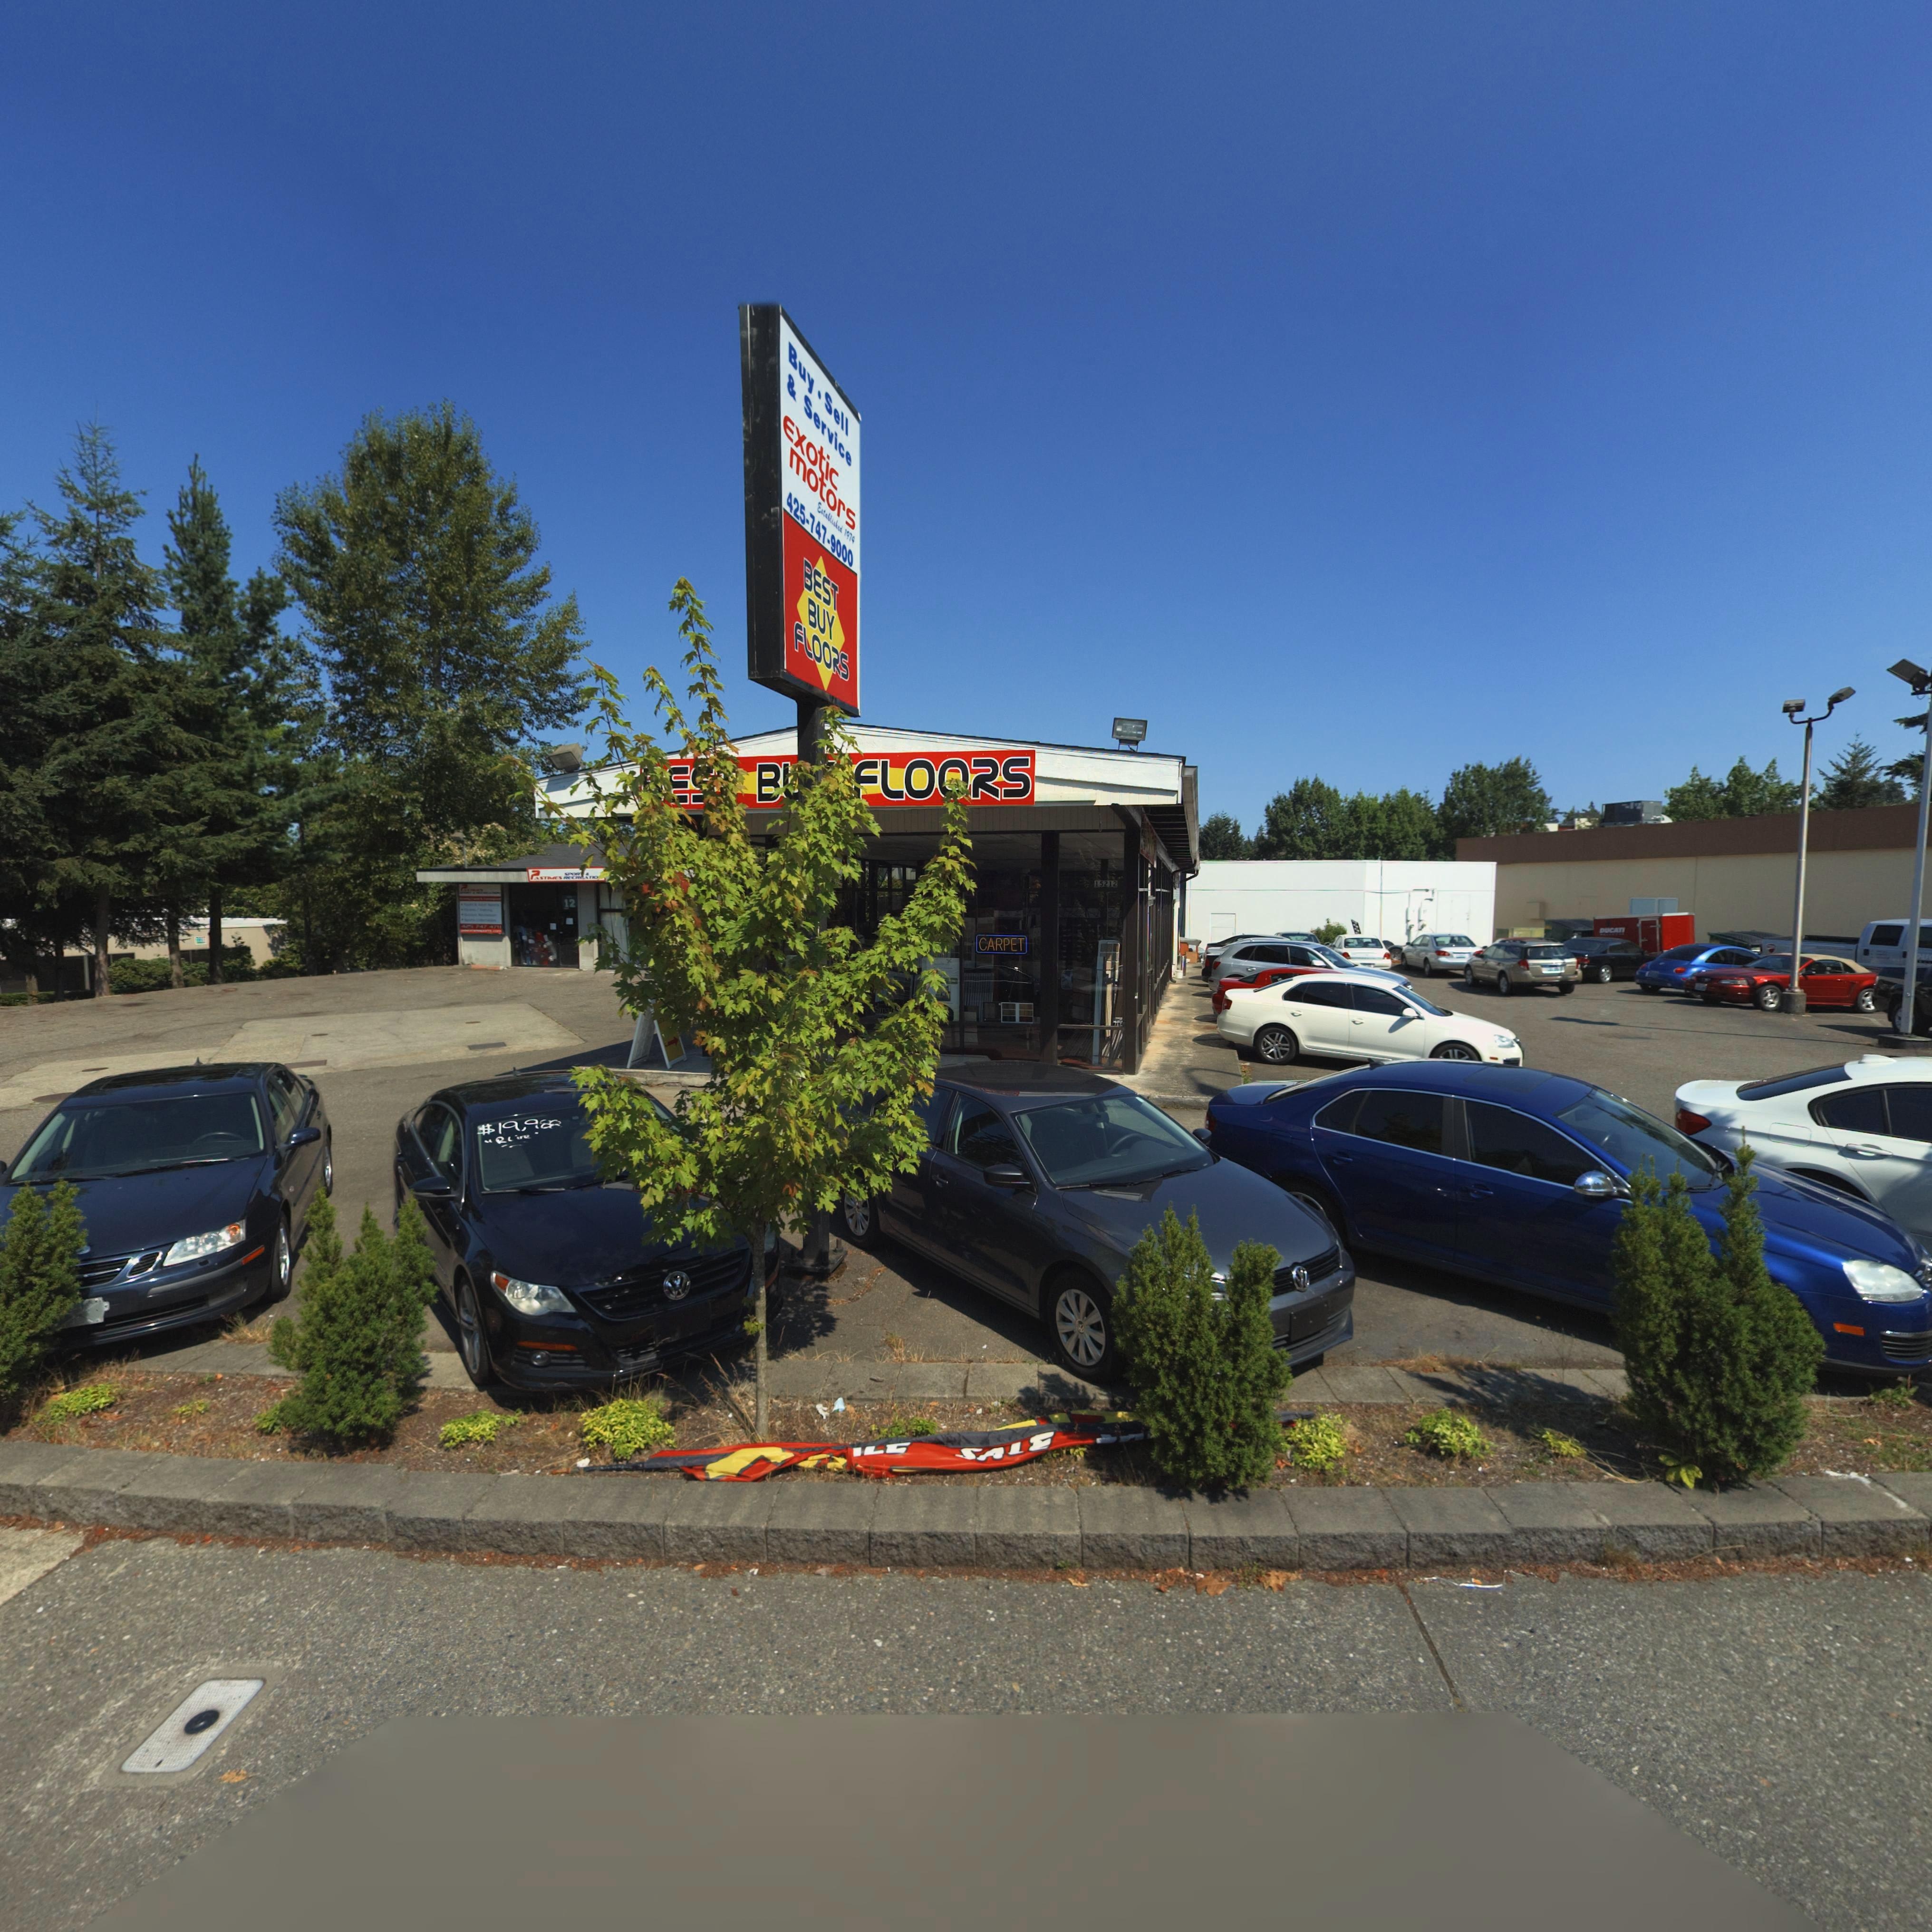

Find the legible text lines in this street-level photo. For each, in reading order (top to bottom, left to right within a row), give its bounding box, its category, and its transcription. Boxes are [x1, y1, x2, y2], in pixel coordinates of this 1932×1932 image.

[784, 414, 839, 493] BusinessName: Exotic
[788, 445, 856, 531] BusinessName: motors
[803, 558, 840, 612] BusinessName: BEST
[808, 596, 836, 641] BusinessName: BUY
[794, 620, 850, 682] BusinessName: FLOORS
[880, 756, 1031, 798] BusinessName: LO*RS
[1095, 880, 1117, 887] StreetNumber: 15212